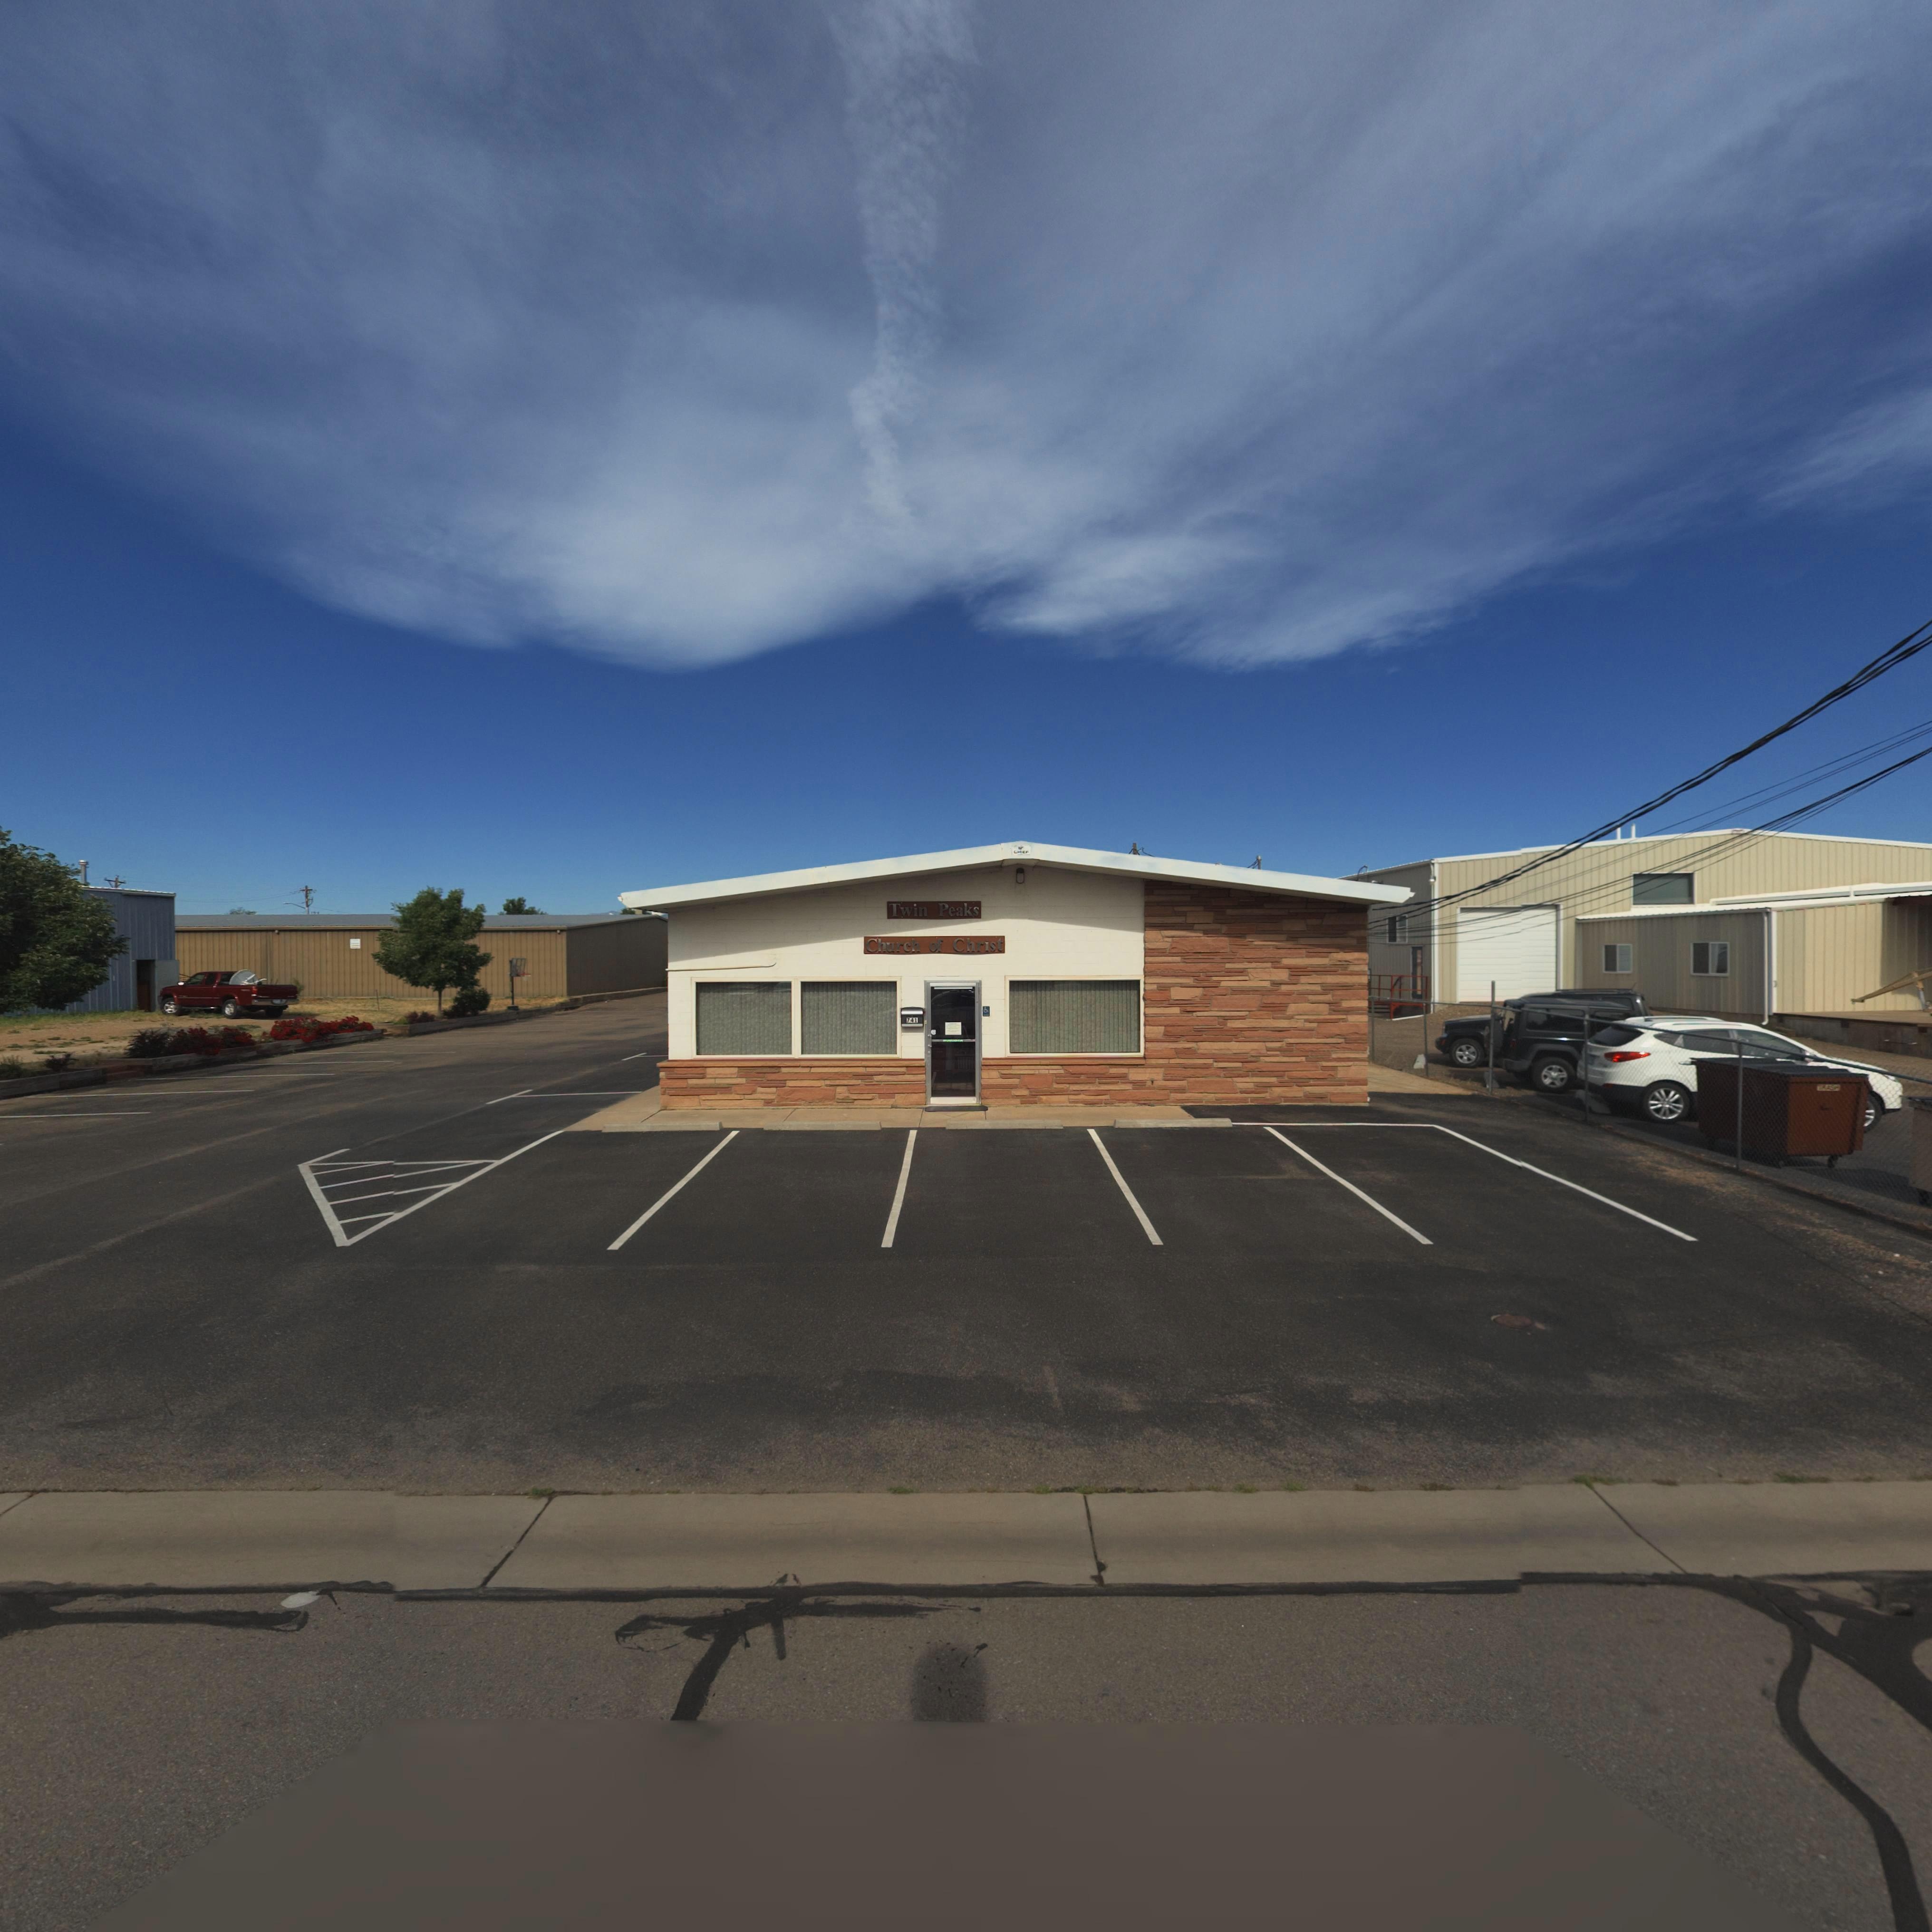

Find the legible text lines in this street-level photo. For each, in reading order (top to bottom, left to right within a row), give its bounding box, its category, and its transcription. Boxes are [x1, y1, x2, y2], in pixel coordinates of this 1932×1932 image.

[887, 902, 981, 918] BusinessName: Twin Peaks
[864, 937, 1004, 953] BusinessName: Church of Christ
[906, 1017, 918, 1023] StreetNumber: 741